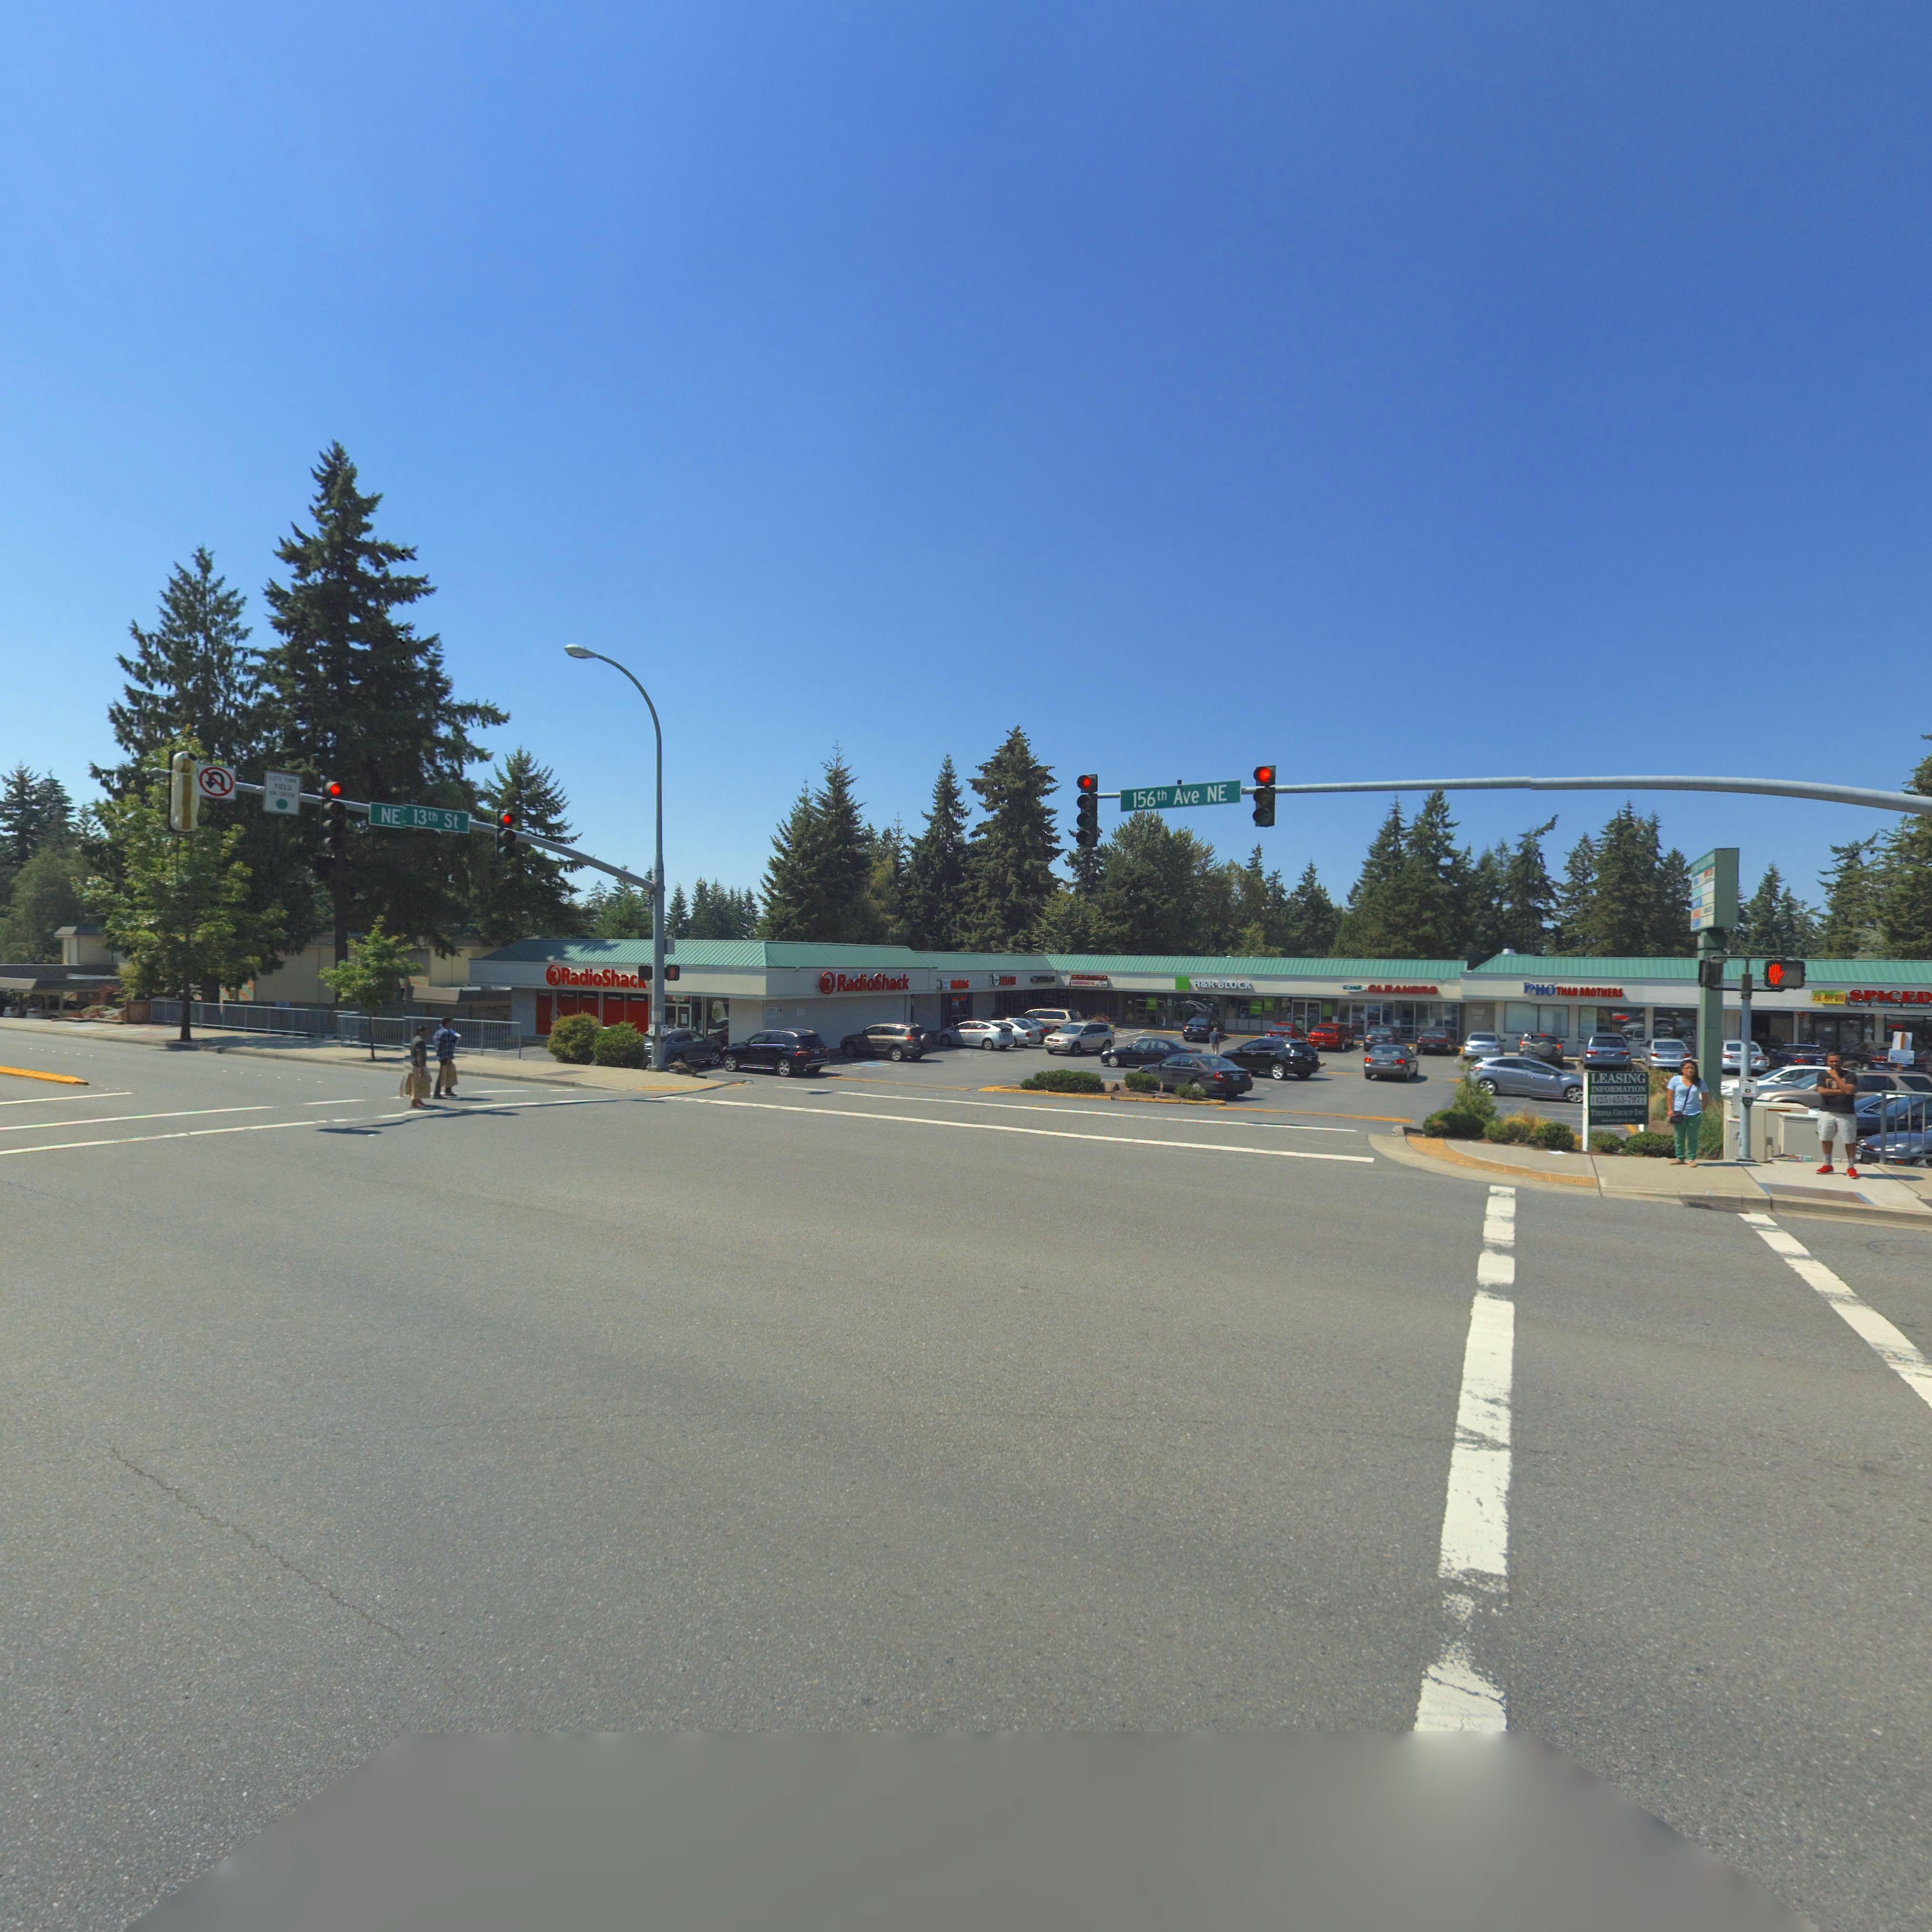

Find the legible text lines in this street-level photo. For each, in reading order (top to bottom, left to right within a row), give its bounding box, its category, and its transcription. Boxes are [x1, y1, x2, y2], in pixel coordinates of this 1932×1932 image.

[1132, 783, 1228, 808] StreetName: 156th Ave NE
[379, 806, 460, 830] StreetName: NE 13th St
[560, 967, 648, 988] BusinessName: RadioShac*
[837, 973, 910, 992] BusinessName: RadioShack
[999, 976, 1016, 986] BusinessName: SALON
[1193, 979, 1252, 989] BusinessName: H*R BLOCK
[1367, 984, 1438, 995] BusinessName: CLEANERS
[1523, 982, 1555, 996] None: *HO
[1556, 986, 1623, 997] BusinessName: THAN BROTHERS
[1848, 989, 1932, 1003] BusinessName: SPICED